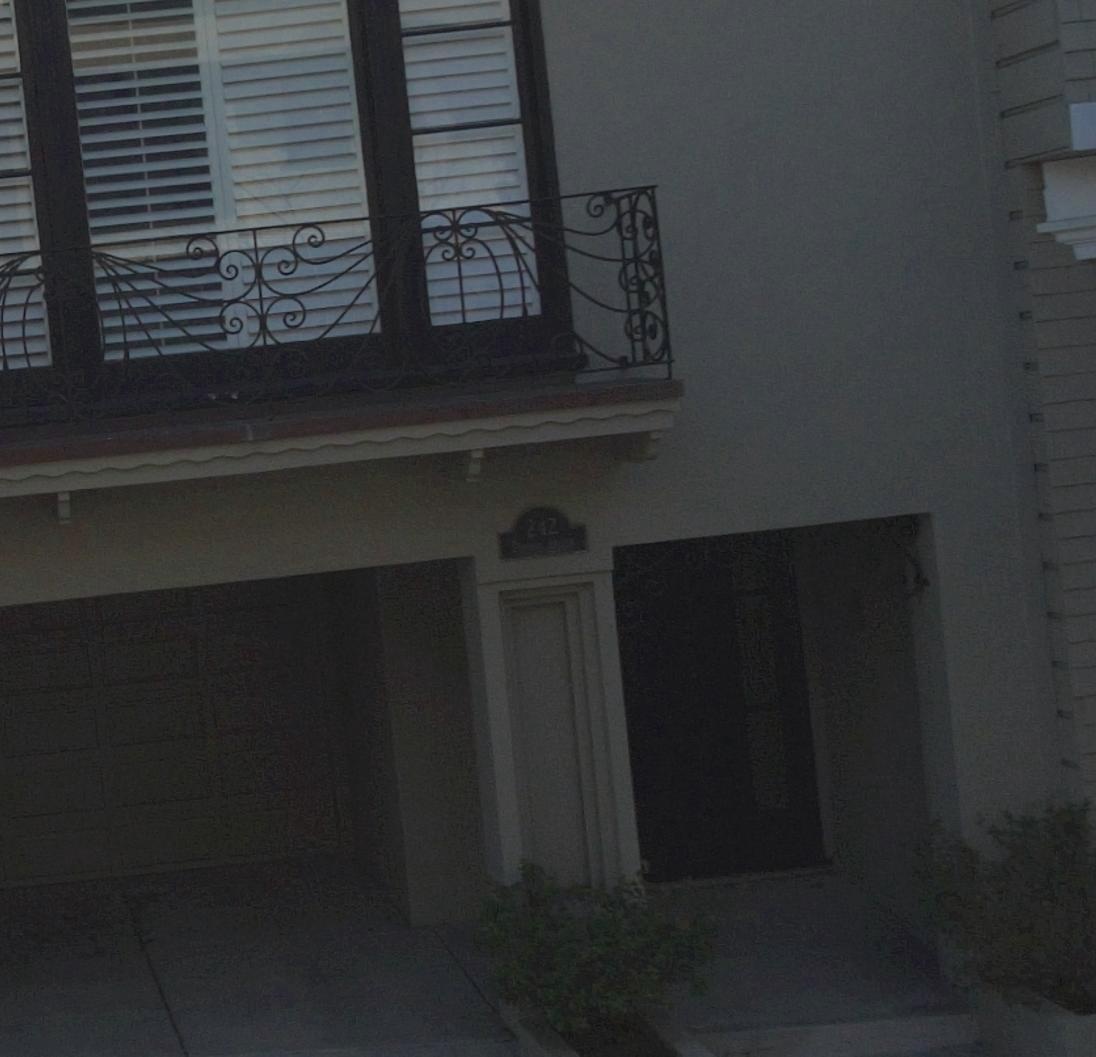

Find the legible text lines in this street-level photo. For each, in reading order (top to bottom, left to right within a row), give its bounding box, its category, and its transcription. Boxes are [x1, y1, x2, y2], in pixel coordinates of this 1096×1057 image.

[522, 516, 560, 540] StreetNumber: 212